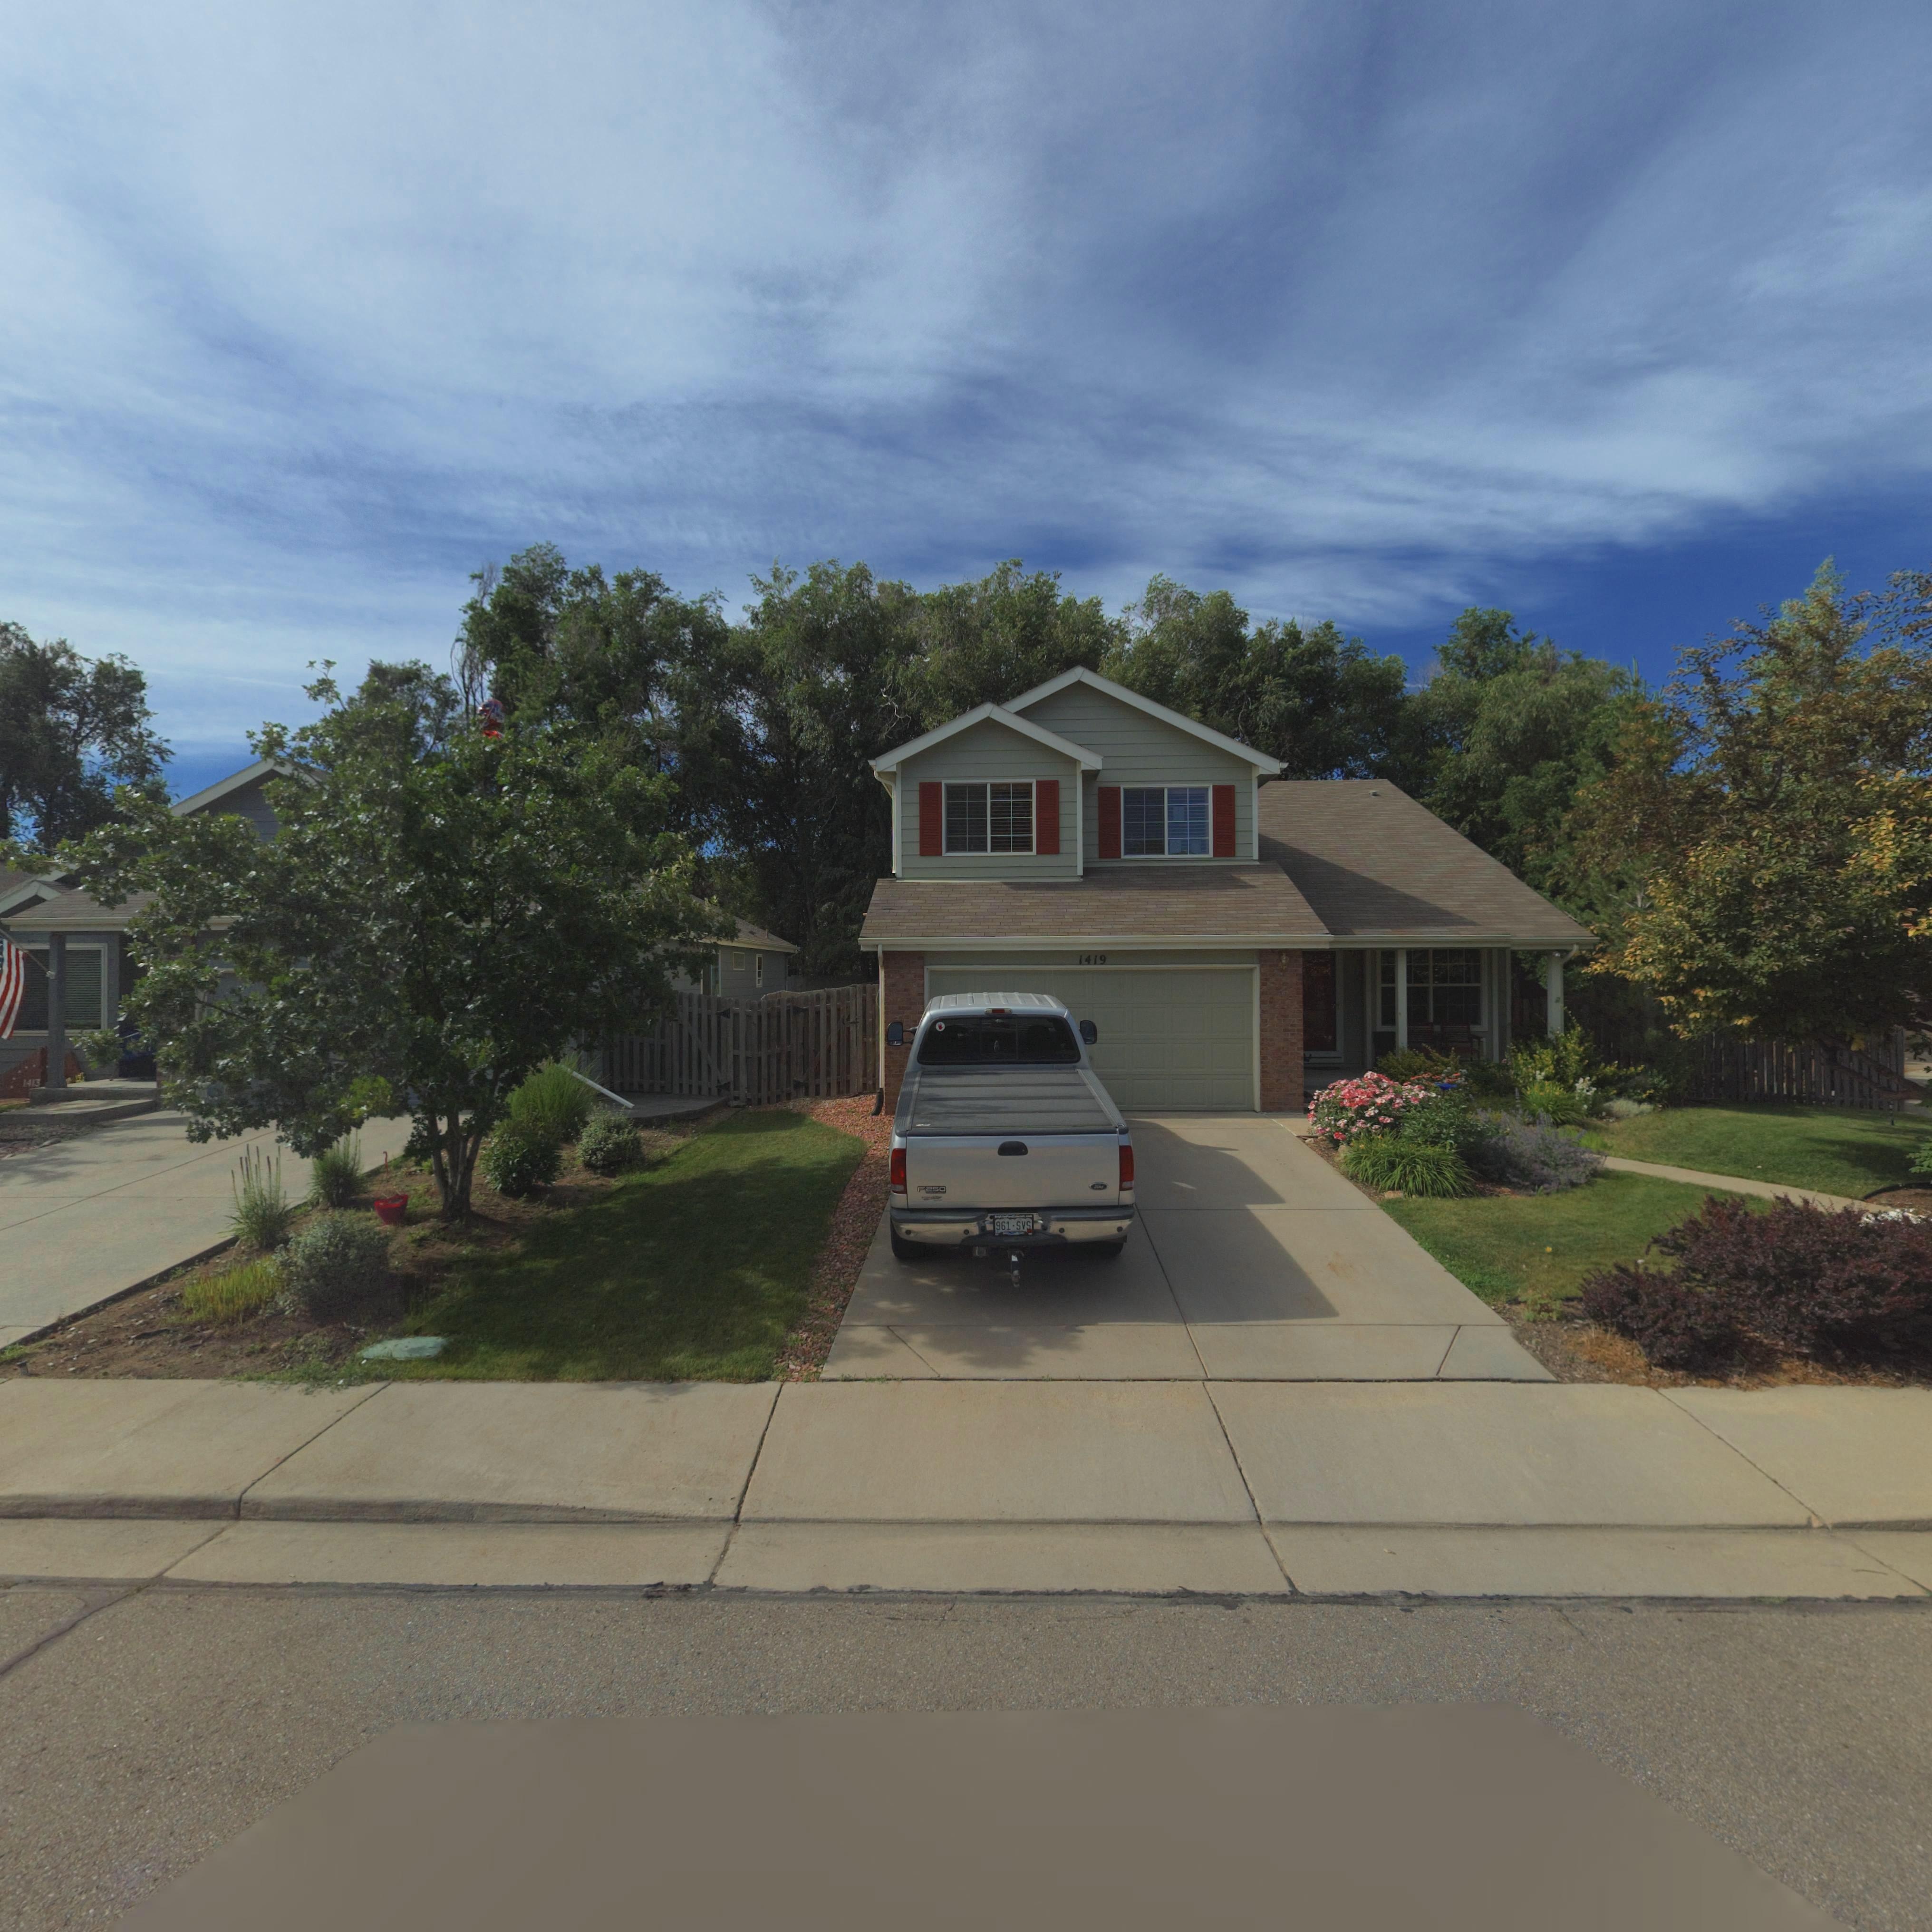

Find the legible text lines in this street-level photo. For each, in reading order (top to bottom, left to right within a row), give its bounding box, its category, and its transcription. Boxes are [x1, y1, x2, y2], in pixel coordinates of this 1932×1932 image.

[1078, 954, 1107, 965] StreetNumber: 1419
[21, 1078, 40, 1088] StreetNumber: 1413